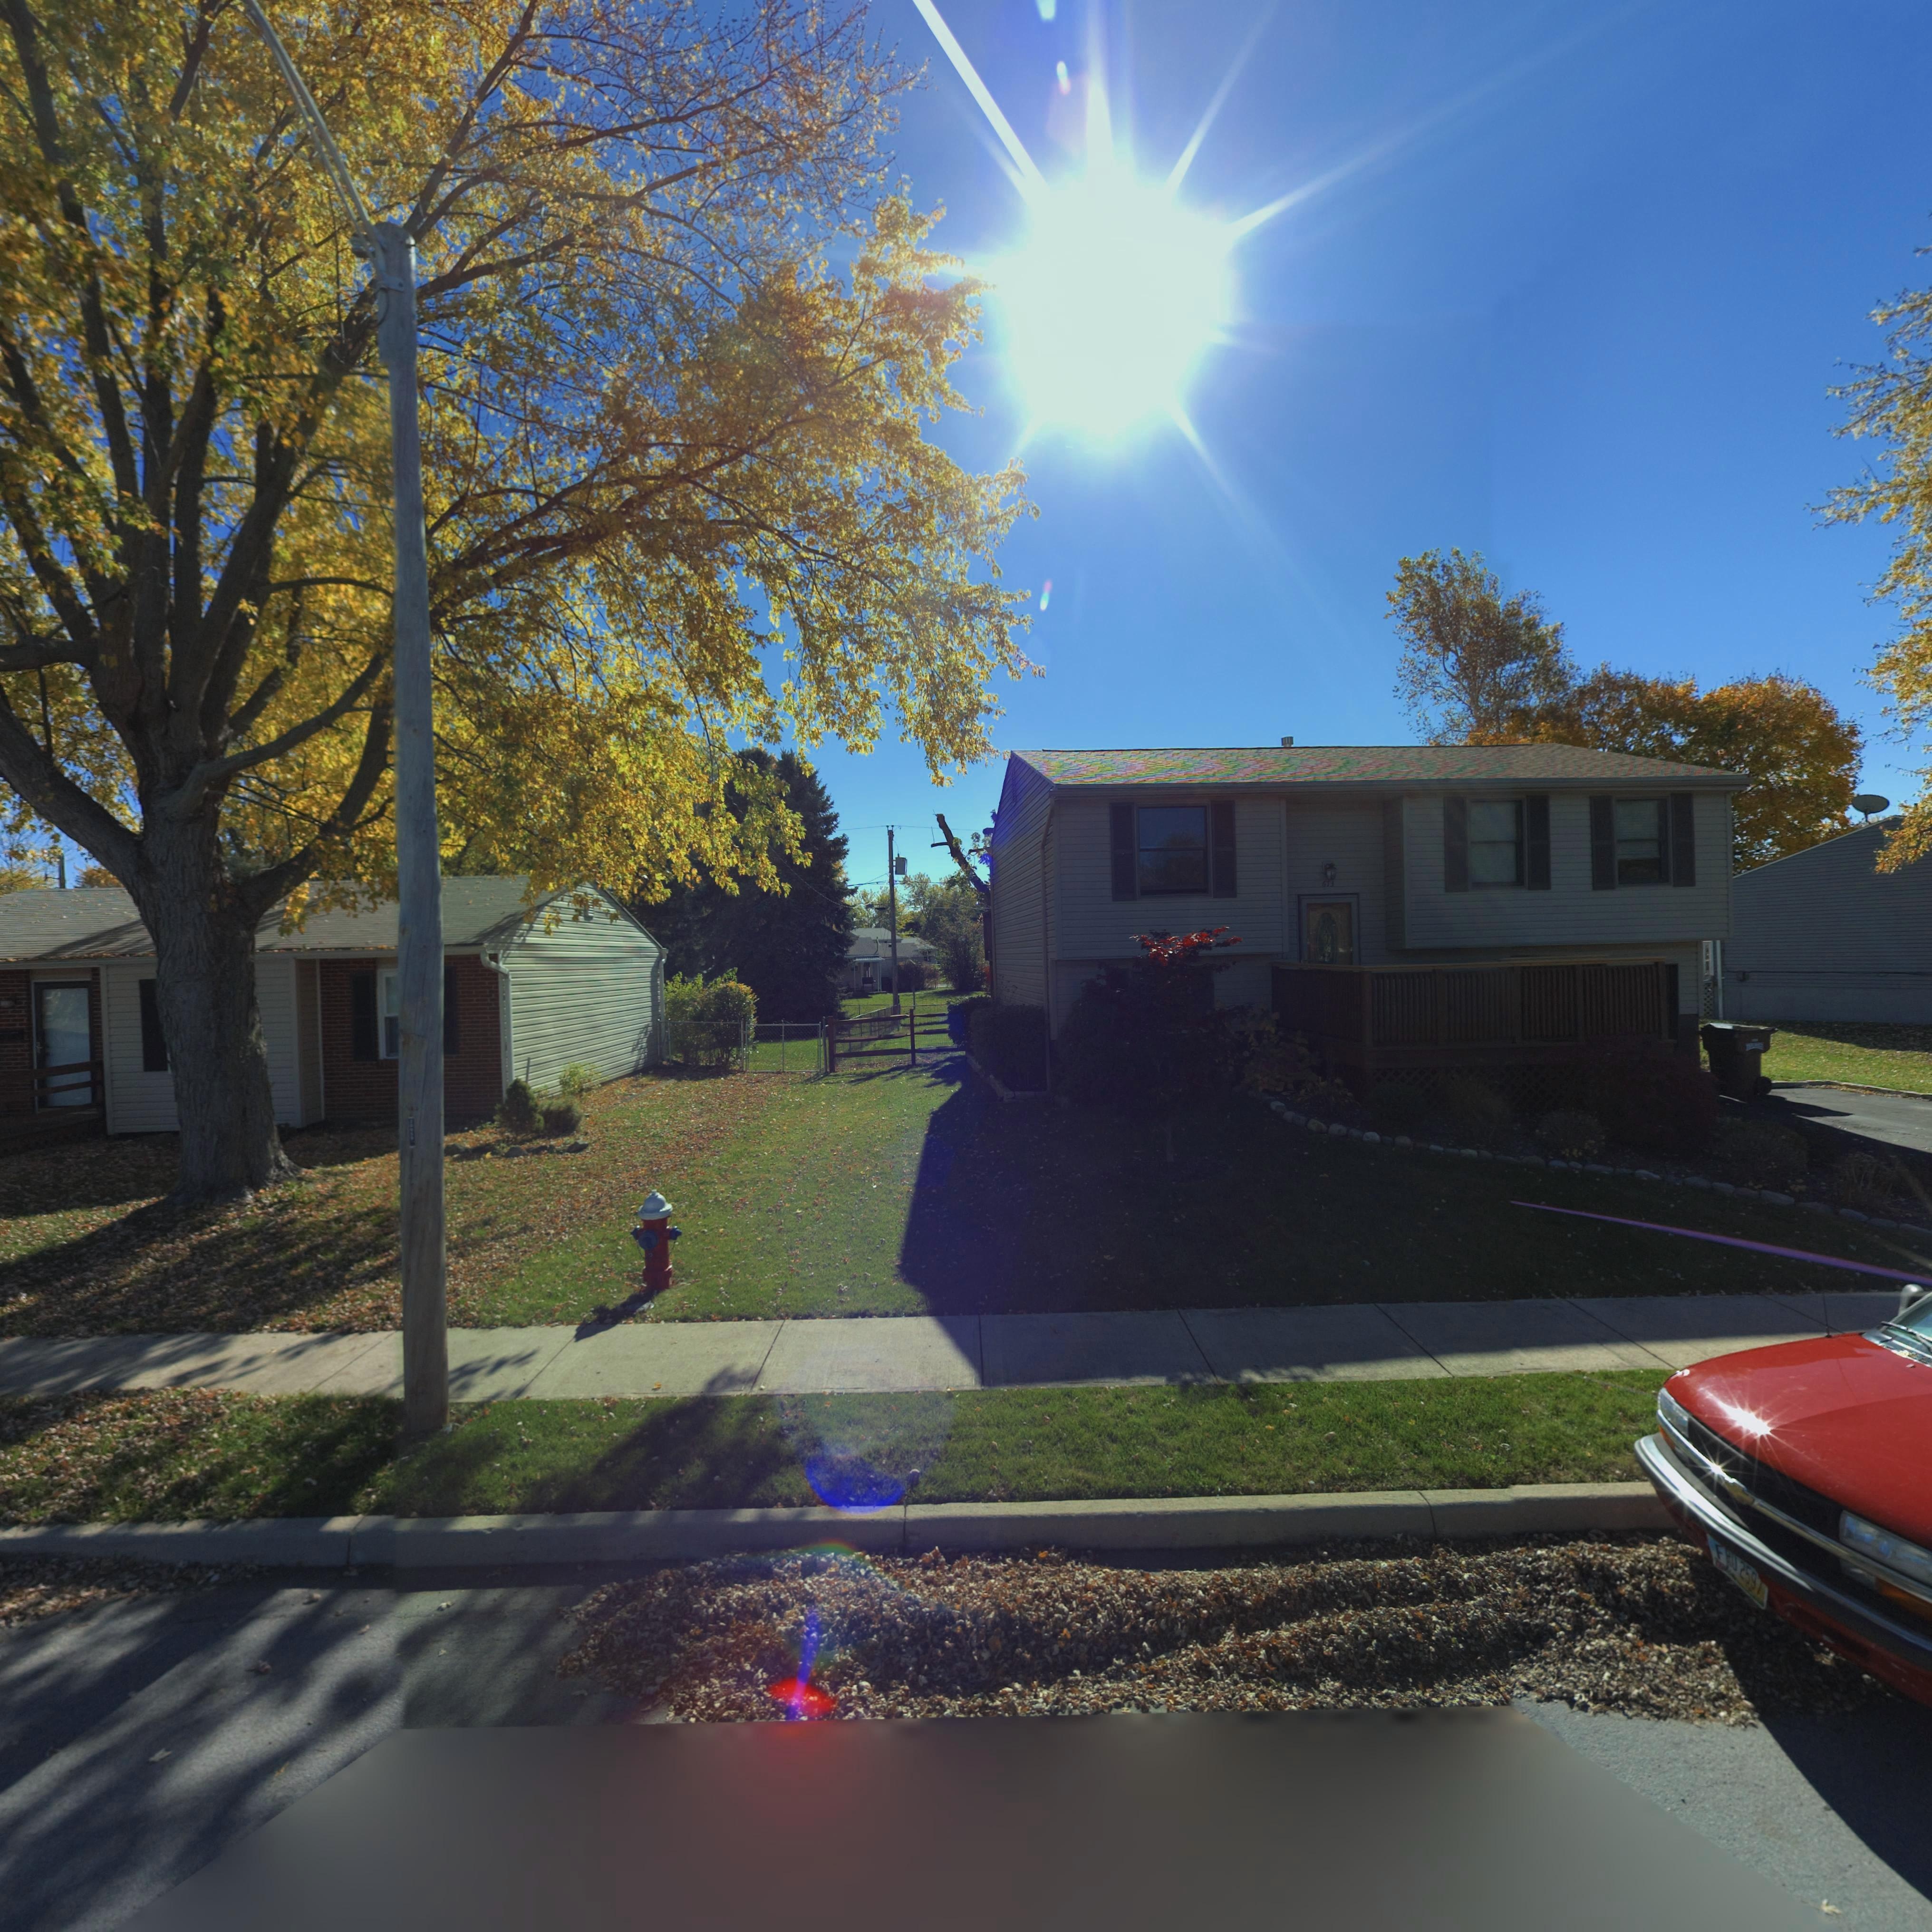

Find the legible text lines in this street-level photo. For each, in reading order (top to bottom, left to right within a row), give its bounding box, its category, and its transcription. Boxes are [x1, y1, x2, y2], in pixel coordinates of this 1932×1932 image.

[1321, 880, 1334, 888] StreetNumber: 673
[1711, 1536, 1770, 1604] None: FRU 2597